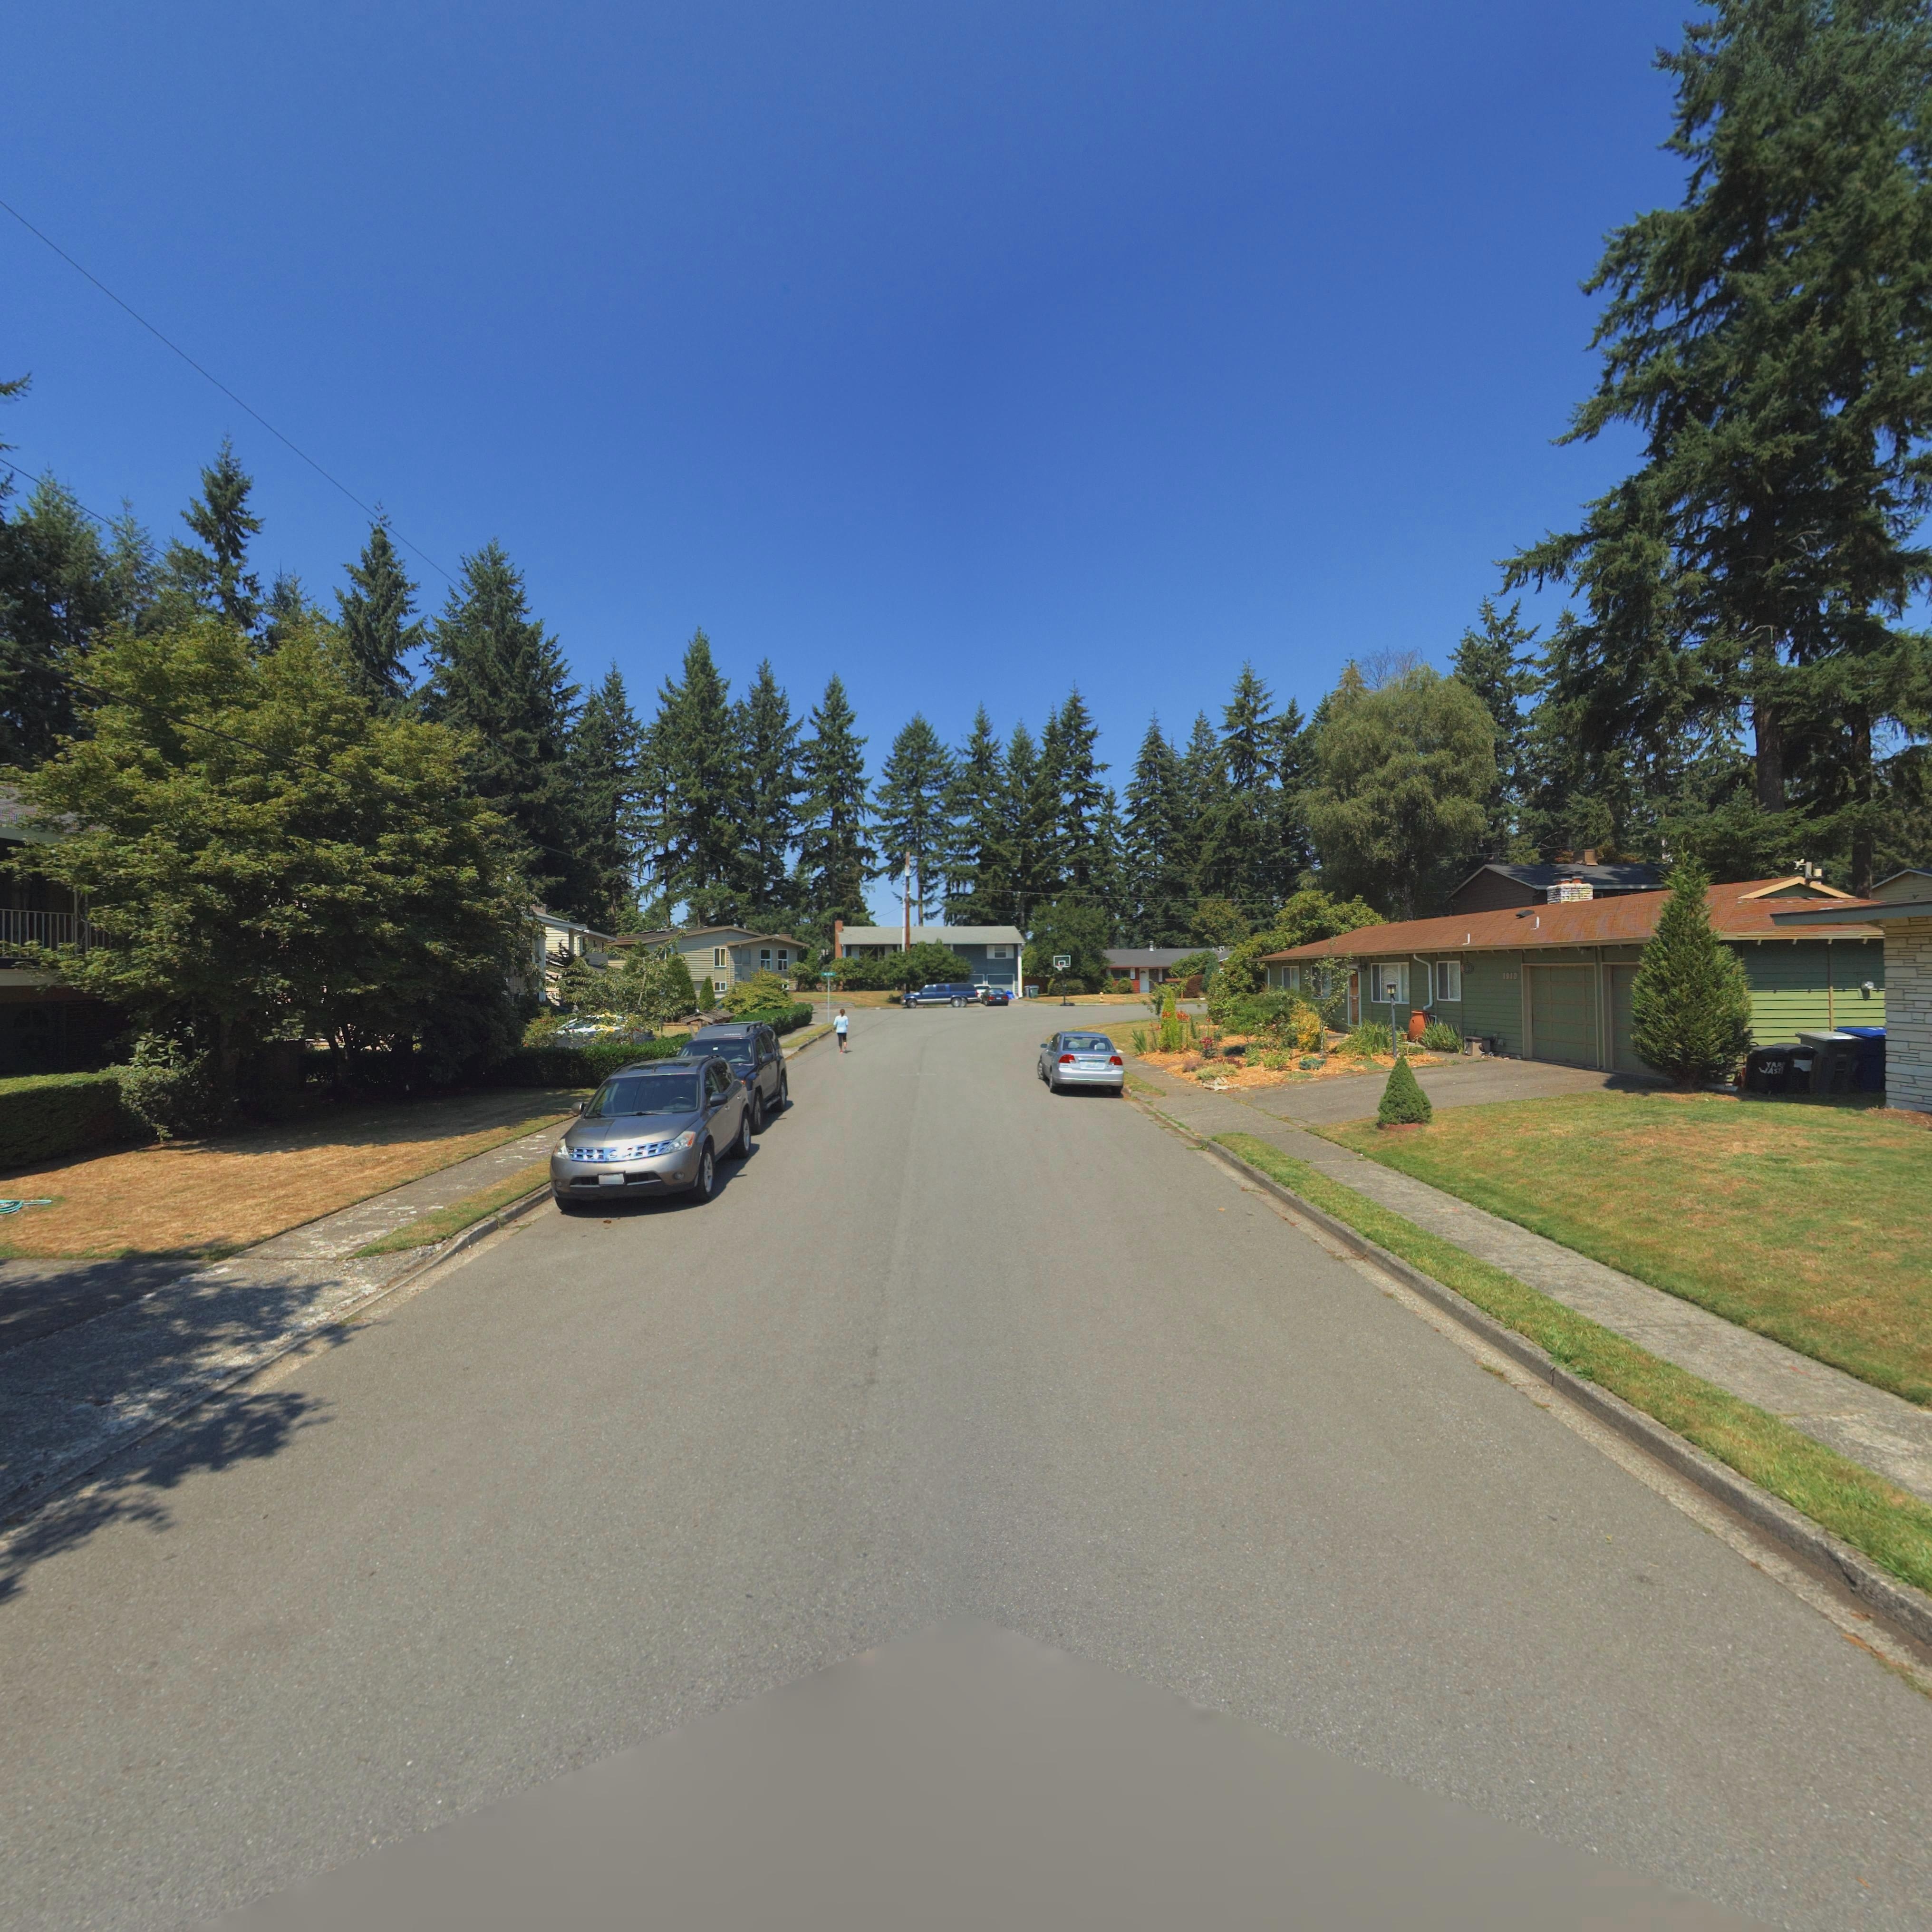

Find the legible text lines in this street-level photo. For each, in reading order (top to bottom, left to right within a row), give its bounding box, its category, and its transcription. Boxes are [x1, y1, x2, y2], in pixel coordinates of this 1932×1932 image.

[1502, 972, 1517, 979] StreetNumber: 1910